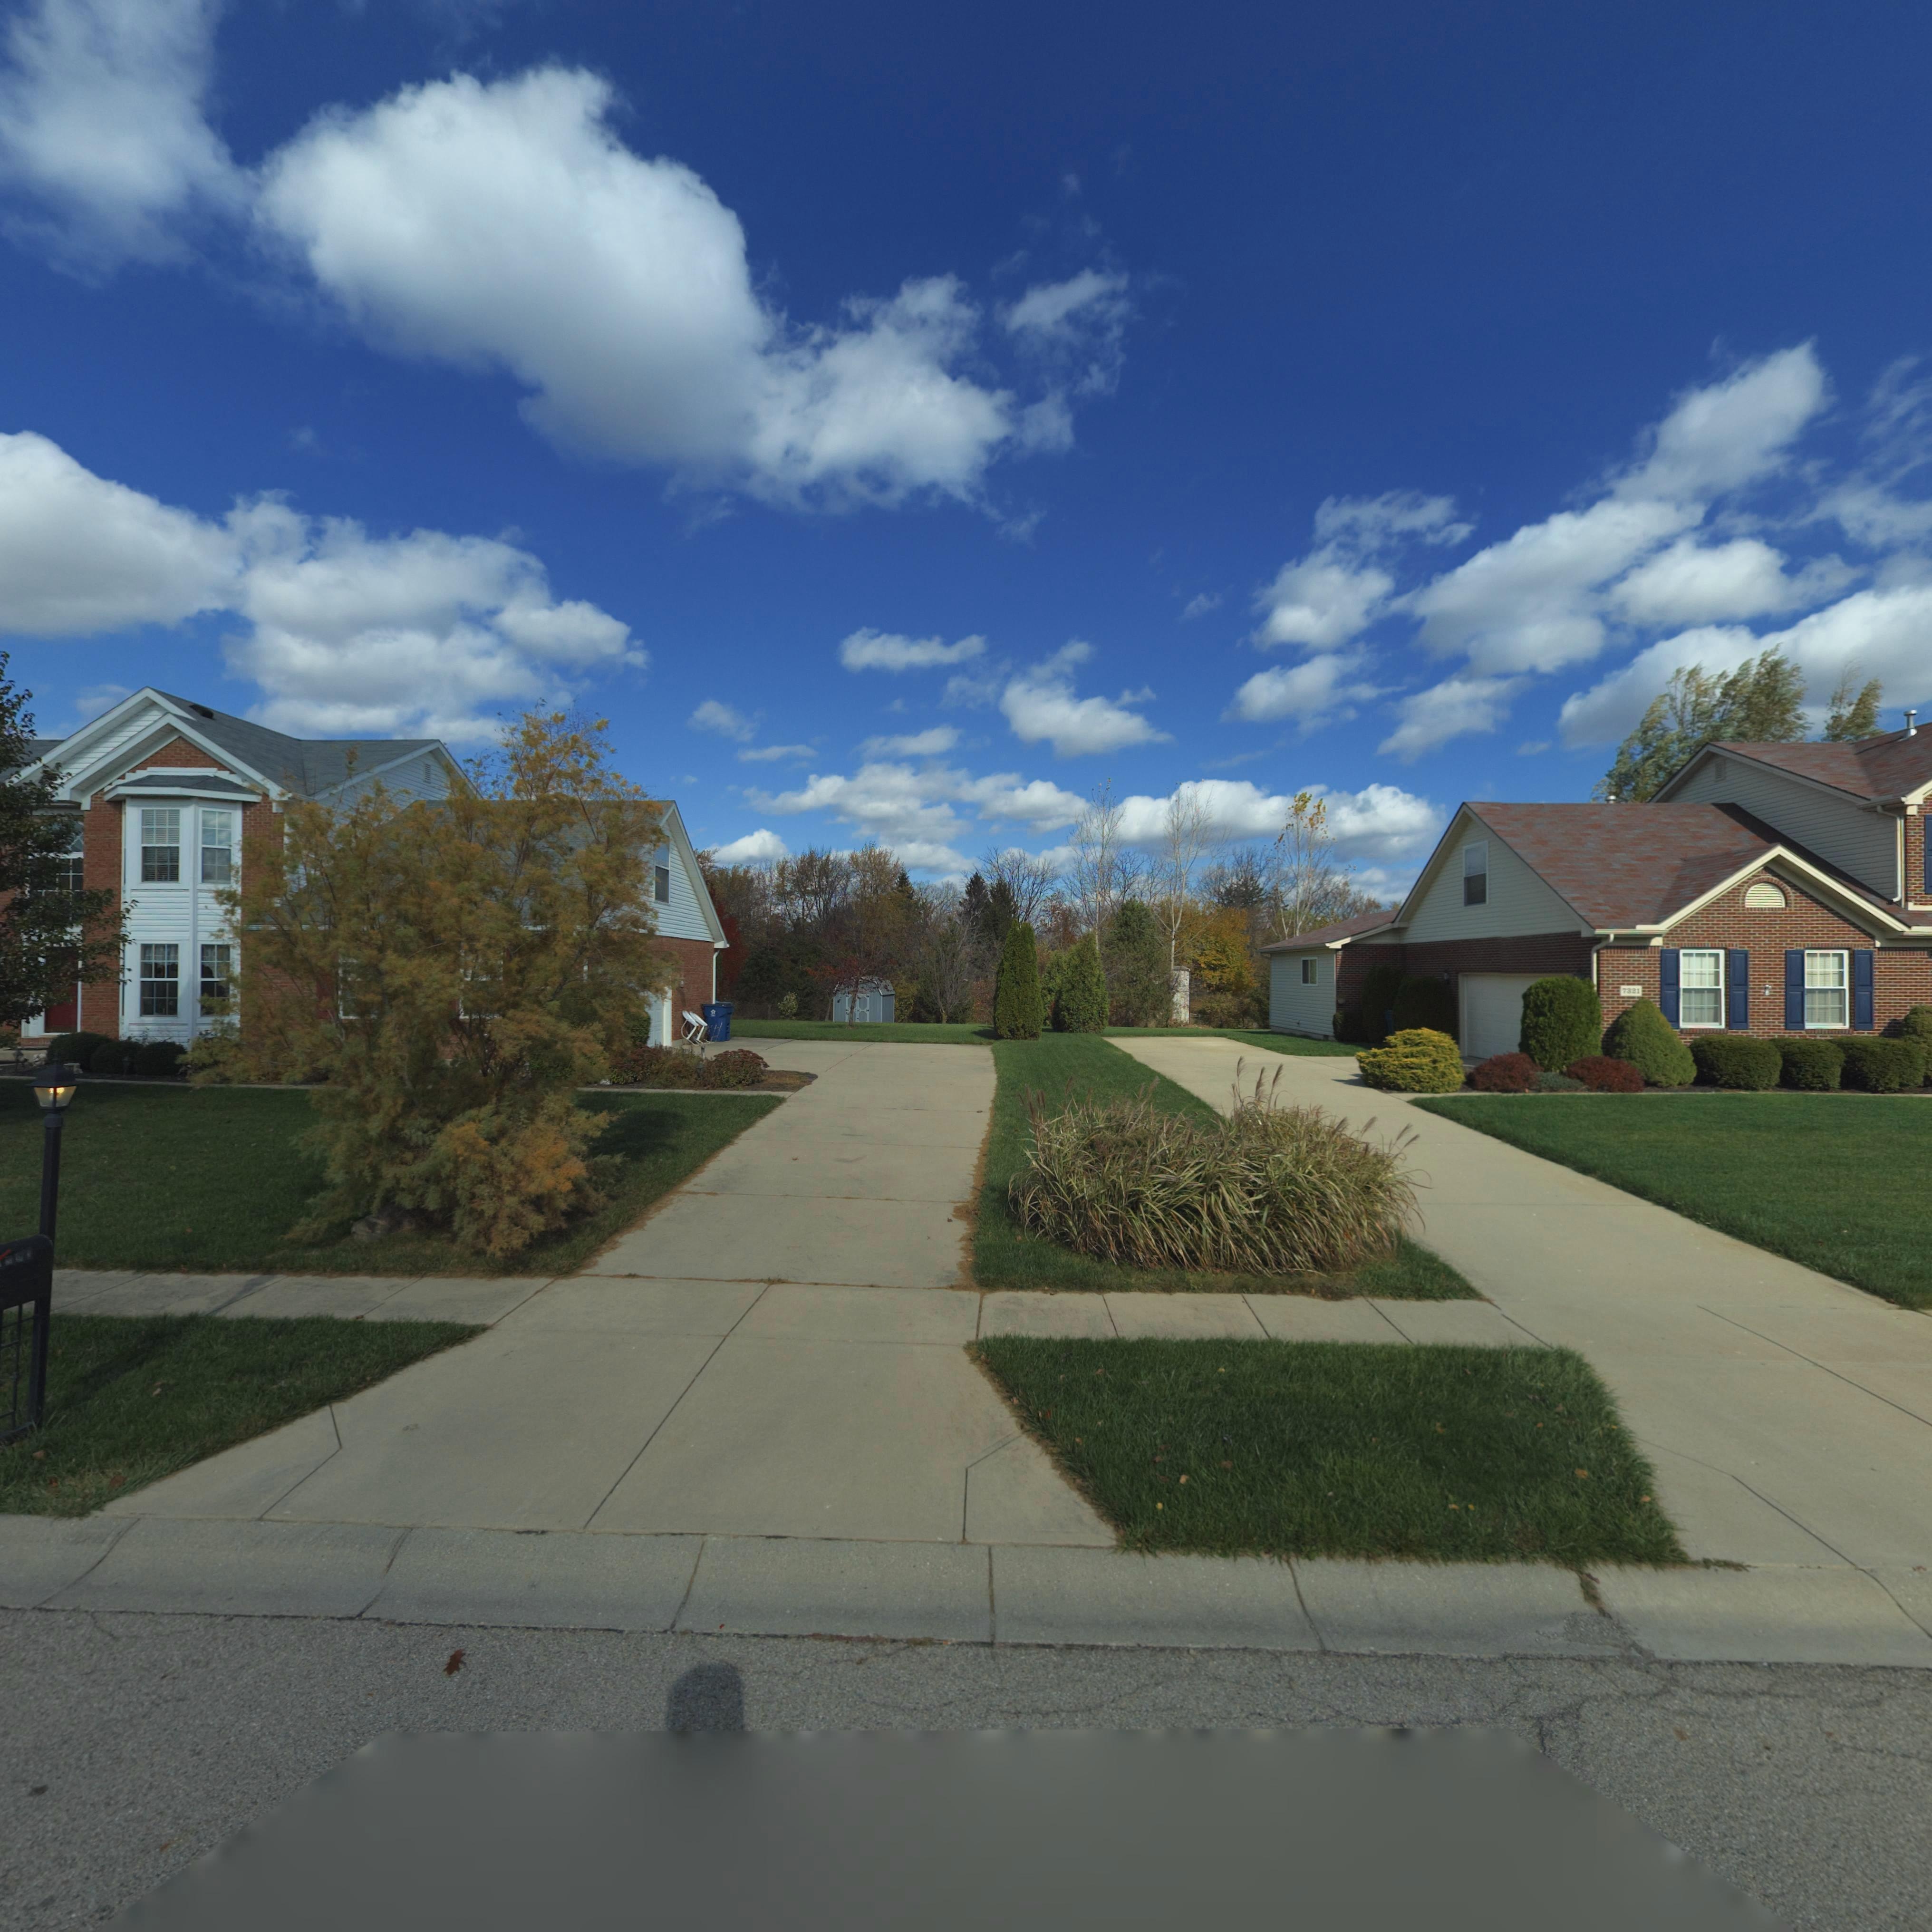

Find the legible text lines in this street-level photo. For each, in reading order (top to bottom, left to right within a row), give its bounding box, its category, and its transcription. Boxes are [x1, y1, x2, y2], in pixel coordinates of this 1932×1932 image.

[1622, 987, 1641, 994] StreetNumber: 7321